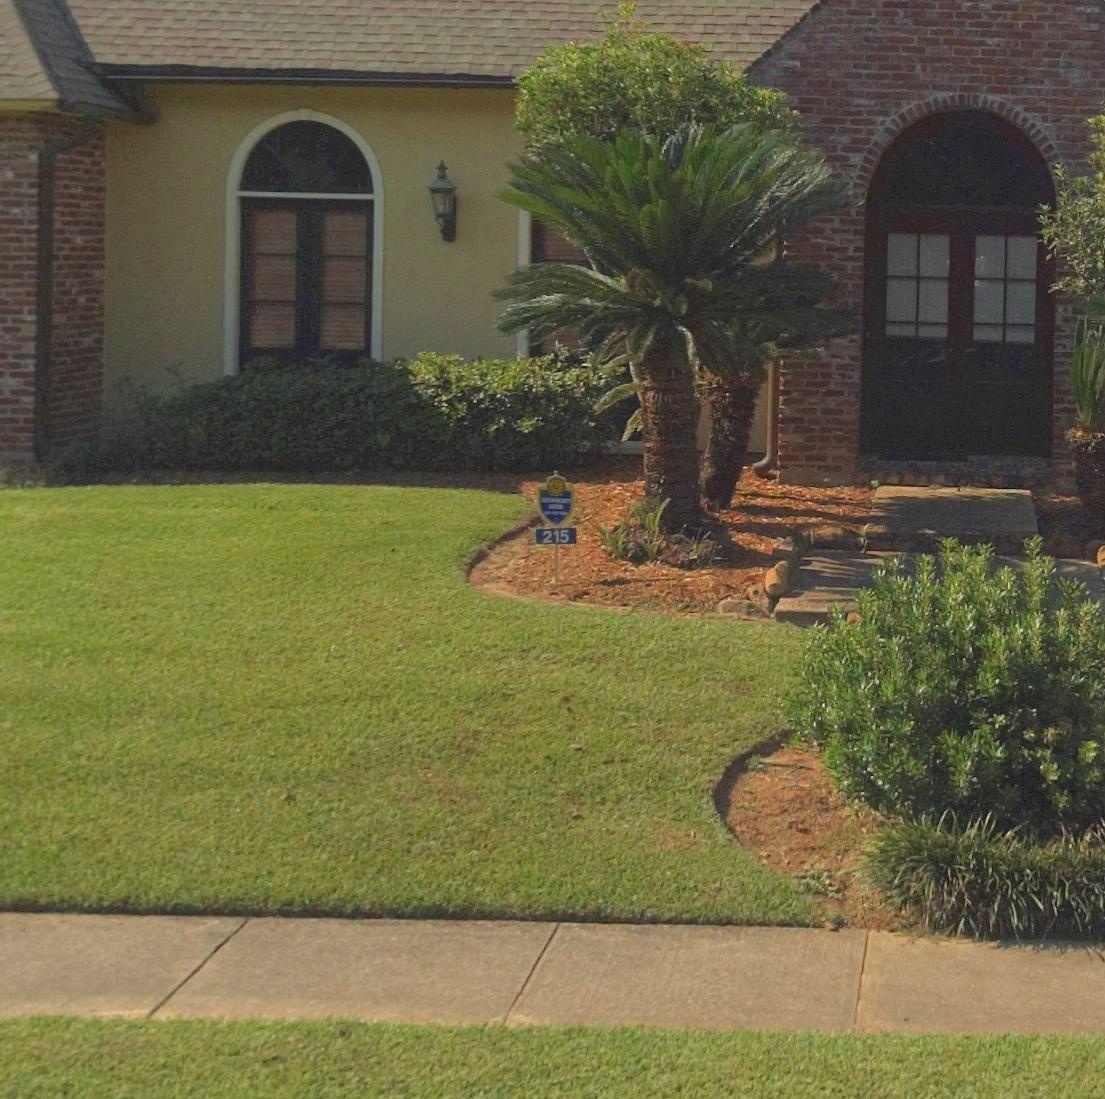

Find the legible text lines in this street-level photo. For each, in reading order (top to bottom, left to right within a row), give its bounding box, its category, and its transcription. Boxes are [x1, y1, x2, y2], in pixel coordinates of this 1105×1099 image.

[541, 530, 571, 543] StreetNumber: 215